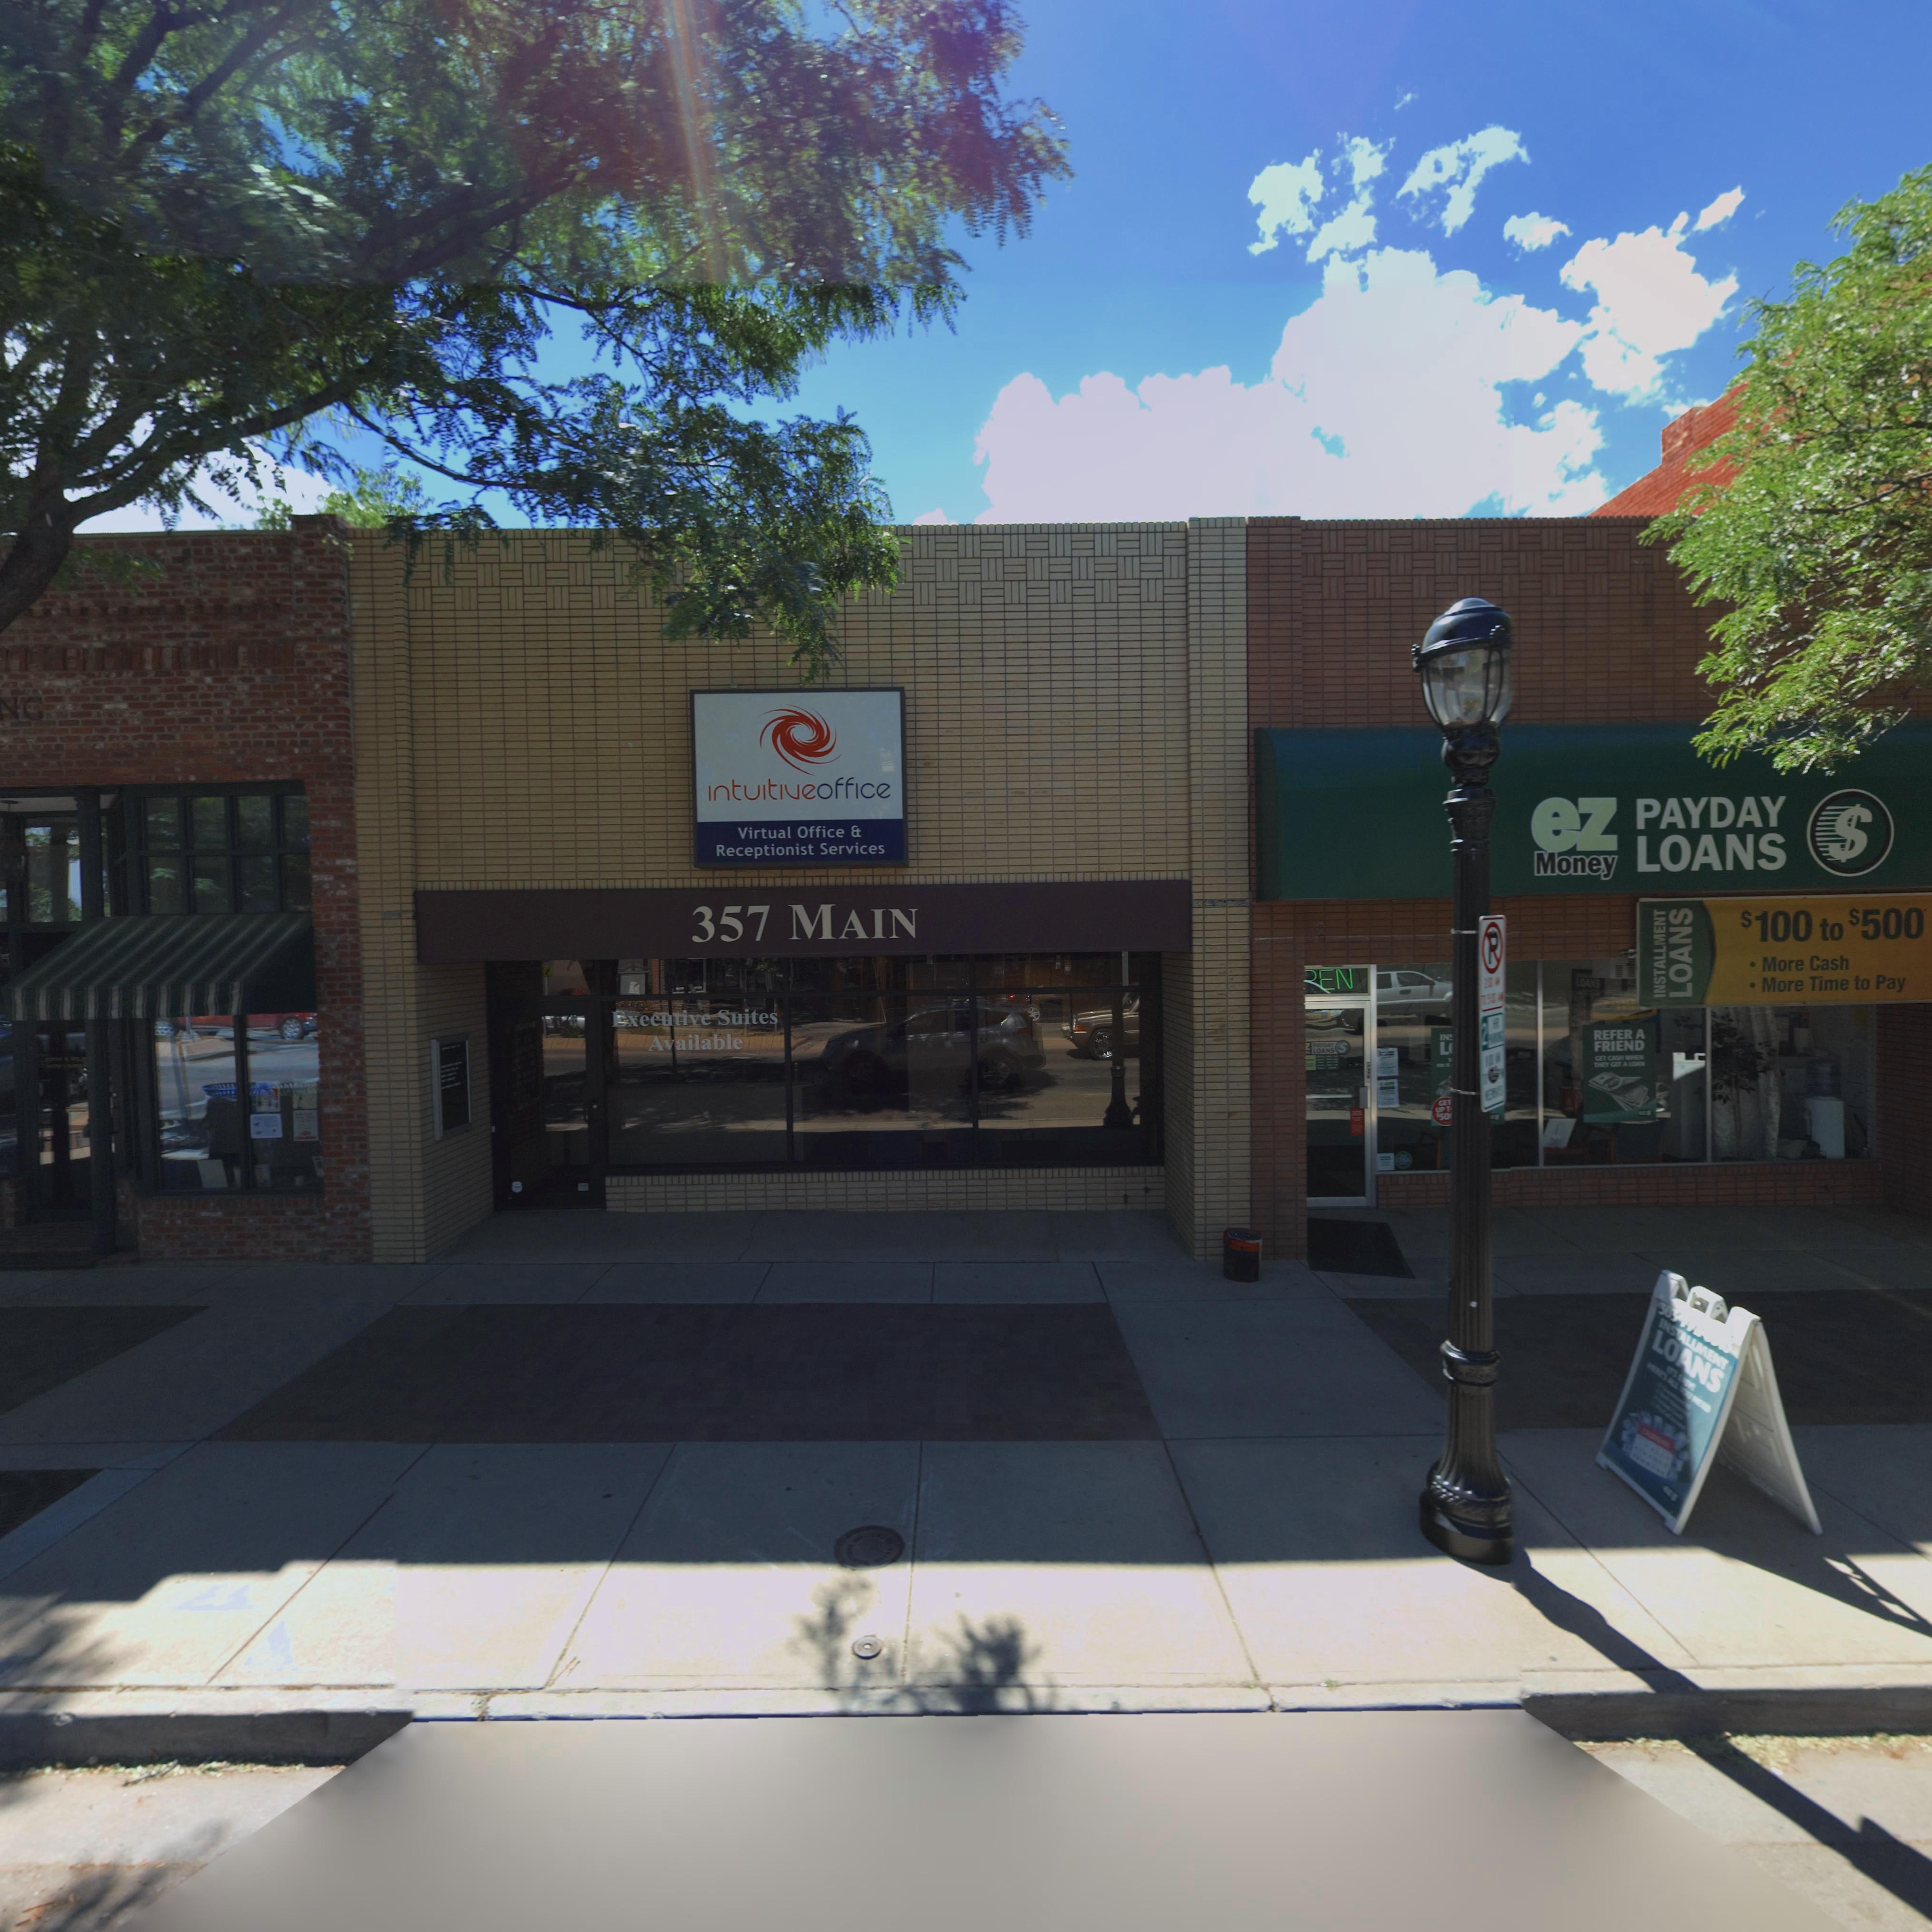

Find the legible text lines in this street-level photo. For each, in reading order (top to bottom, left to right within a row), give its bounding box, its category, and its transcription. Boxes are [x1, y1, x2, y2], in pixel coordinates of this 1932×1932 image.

[708, 776, 891, 801] BusinessName: intuitiveoffice
[1530, 796, 1617, 852] BusinessName: ez
[1535, 851, 1617, 879] BusinessName: Money
[691, 904, 771, 943] StreetNumber: 357
[787, 903, 919, 939] StreetName: MAIN
[1304, 1042, 1311, 1051] BusinessName: Z